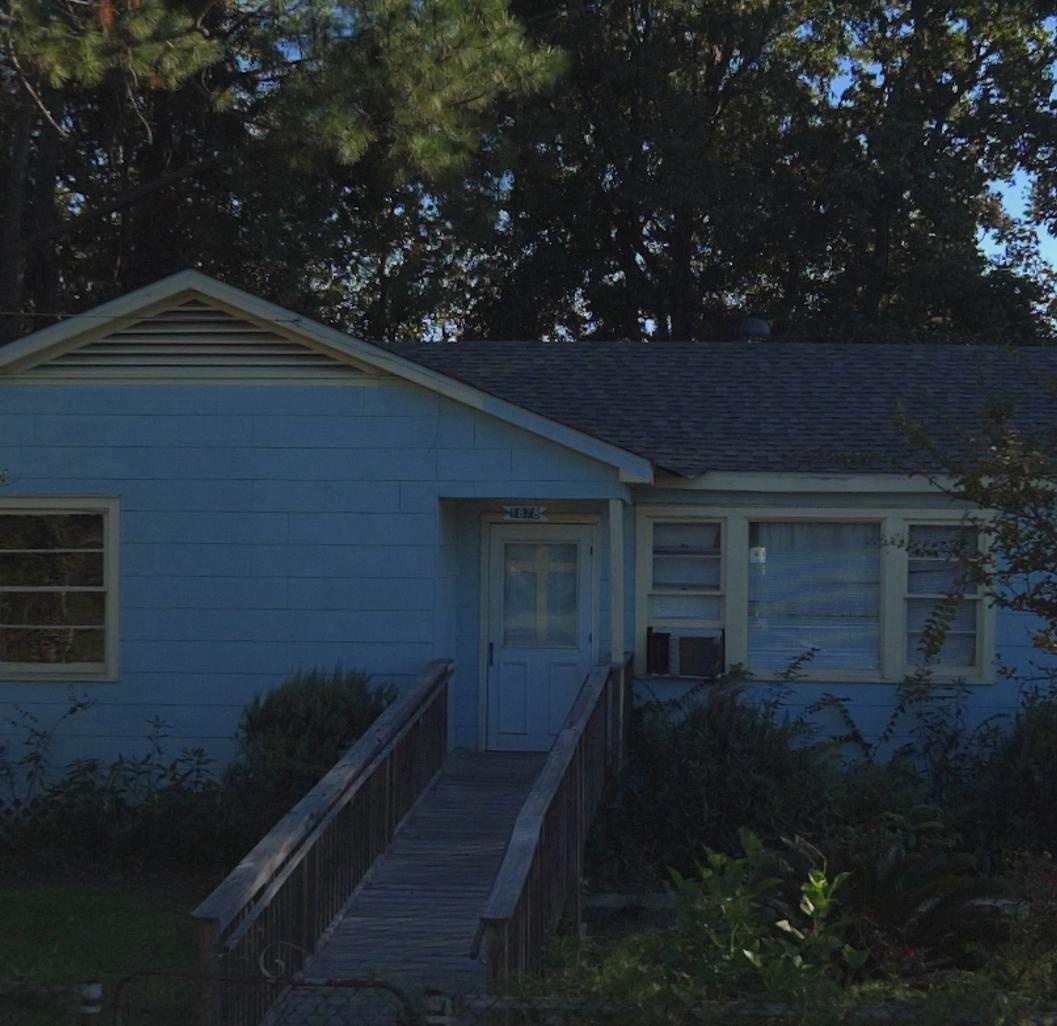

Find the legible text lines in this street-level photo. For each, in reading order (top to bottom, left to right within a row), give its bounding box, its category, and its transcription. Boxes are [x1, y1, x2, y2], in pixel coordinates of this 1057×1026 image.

[510, 507, 540, 519] StreetNumber: 1878